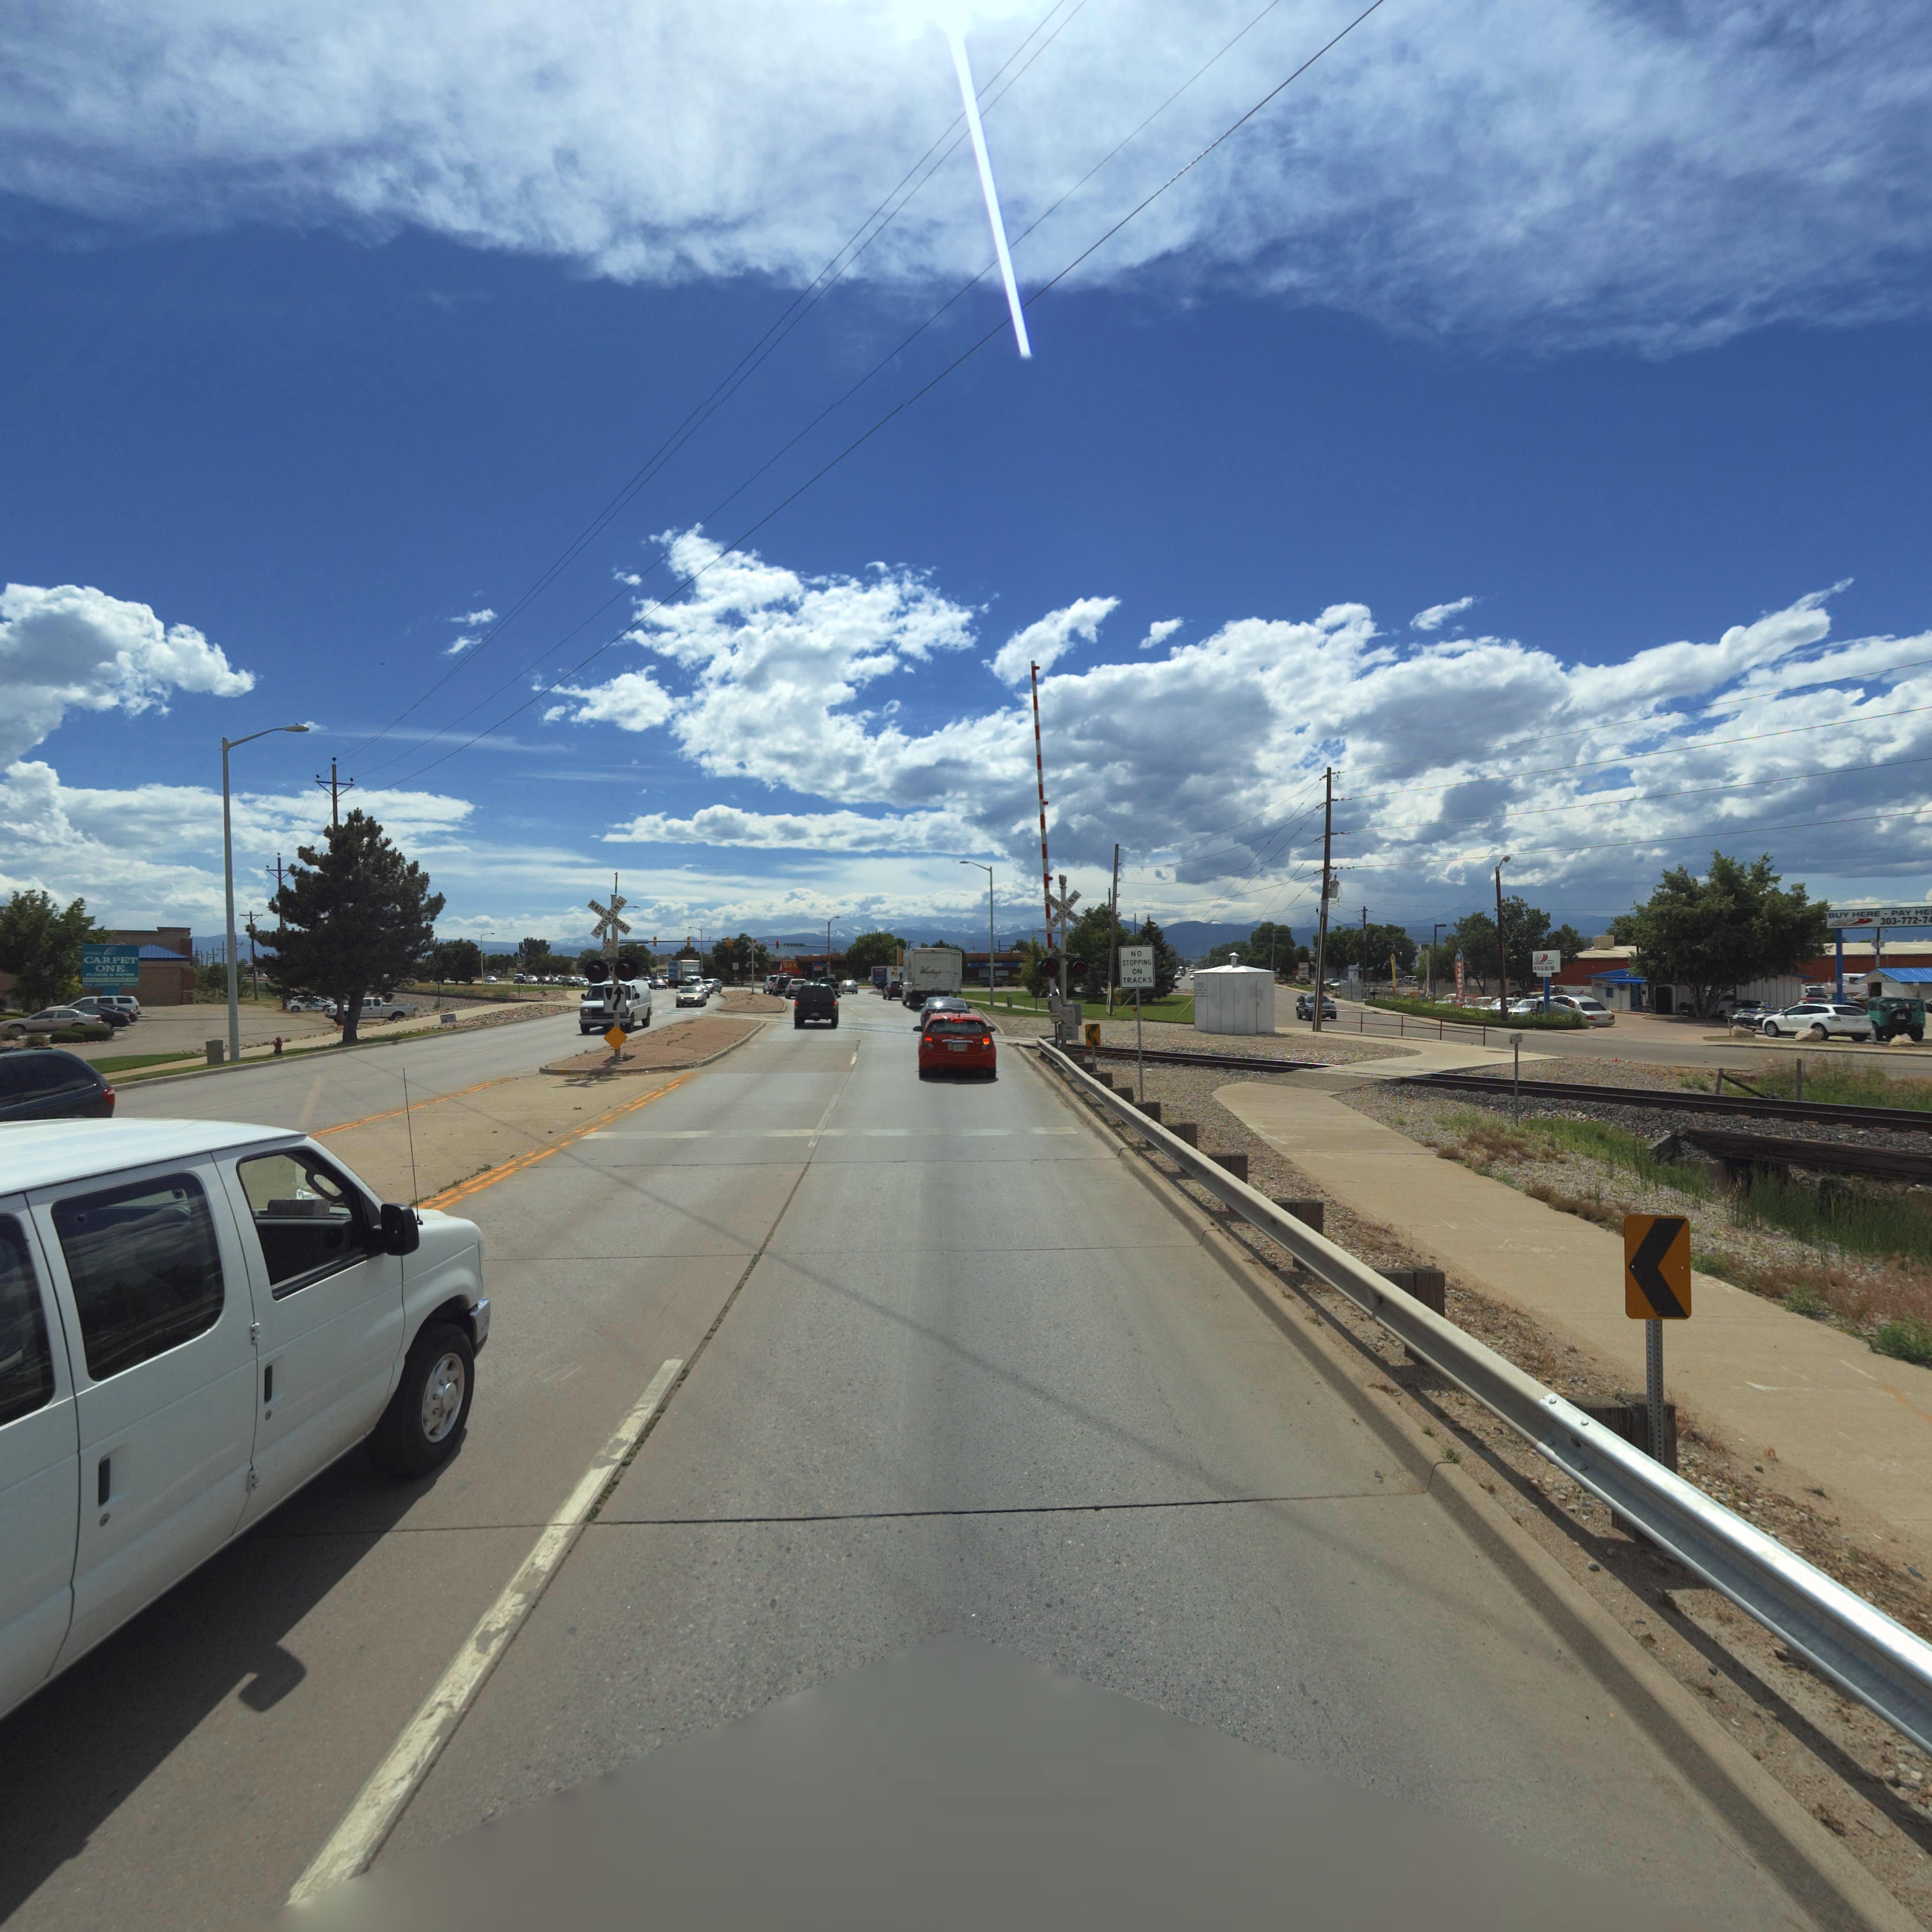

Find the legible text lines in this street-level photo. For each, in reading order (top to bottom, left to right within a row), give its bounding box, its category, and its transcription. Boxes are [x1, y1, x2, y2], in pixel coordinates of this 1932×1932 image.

[83, 956, 138, 965] BusinessName: CARPET
[94, 963, 126, 973] BusinessName: ONE